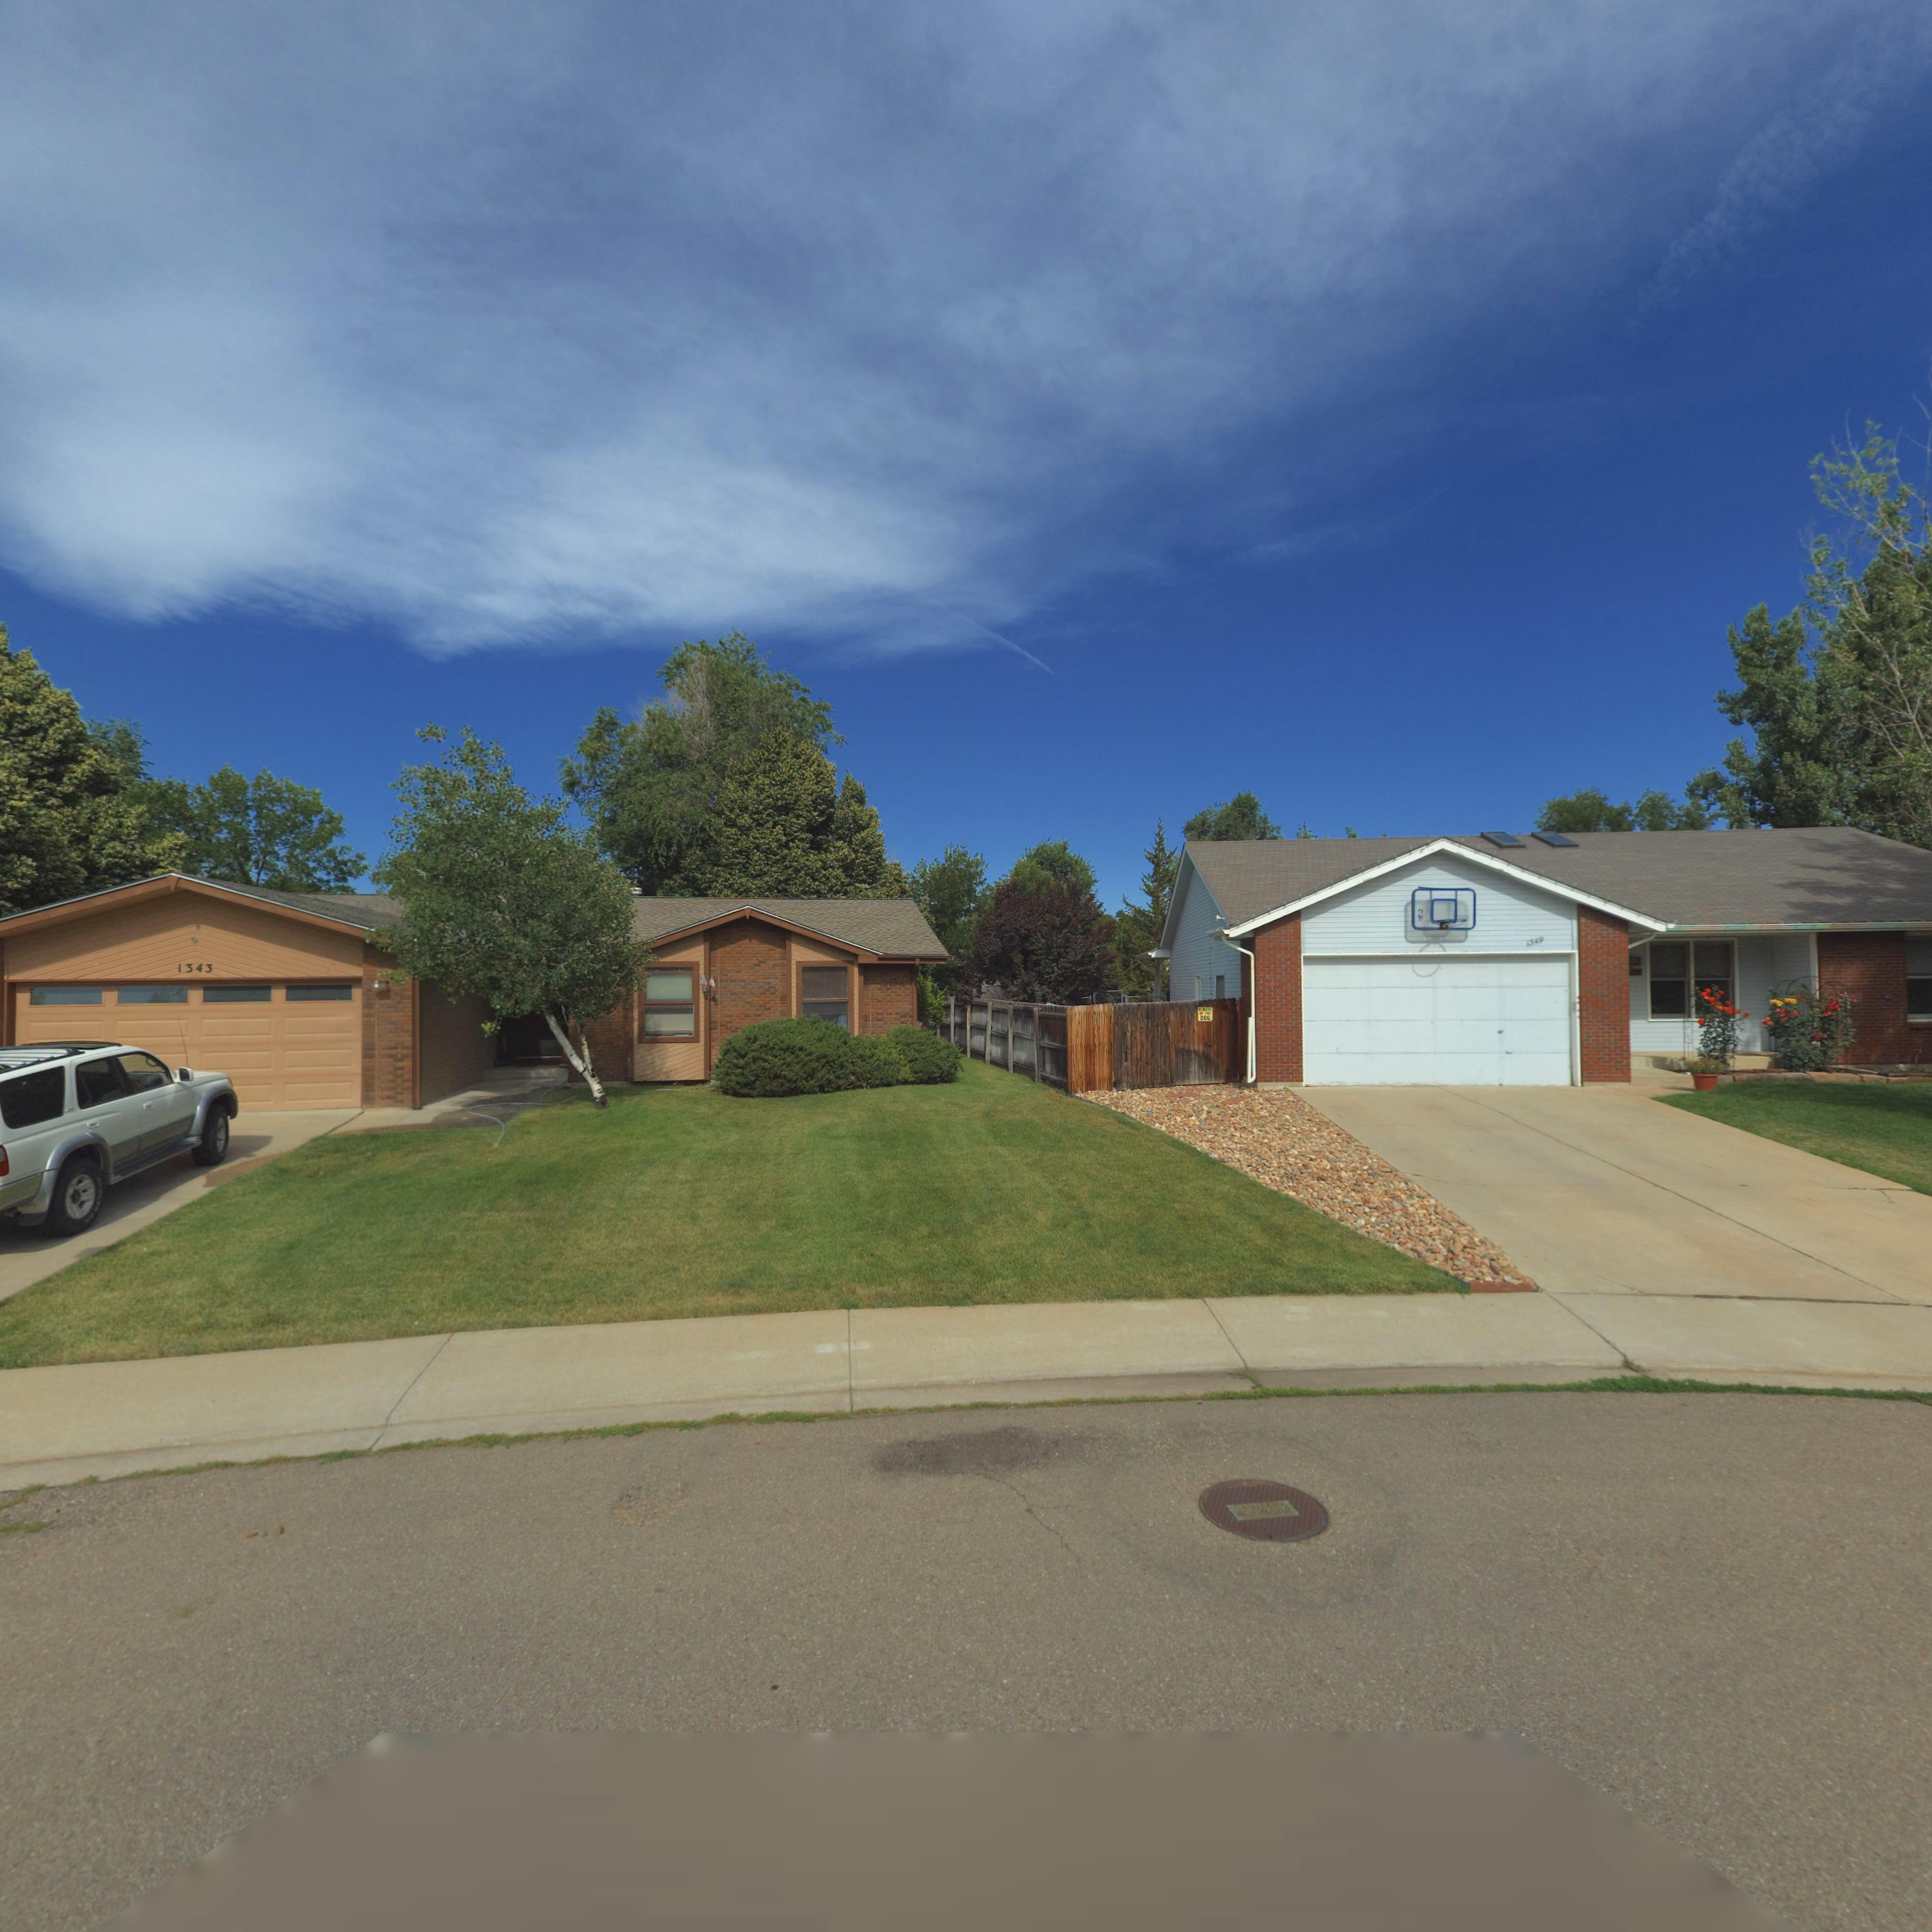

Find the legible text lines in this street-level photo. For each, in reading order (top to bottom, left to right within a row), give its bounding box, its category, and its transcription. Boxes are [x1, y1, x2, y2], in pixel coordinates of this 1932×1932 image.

[1526, 936, 1545, 947] StreetNumber: 1349
[178, 963, 213, 973] StreetNumber: 1343